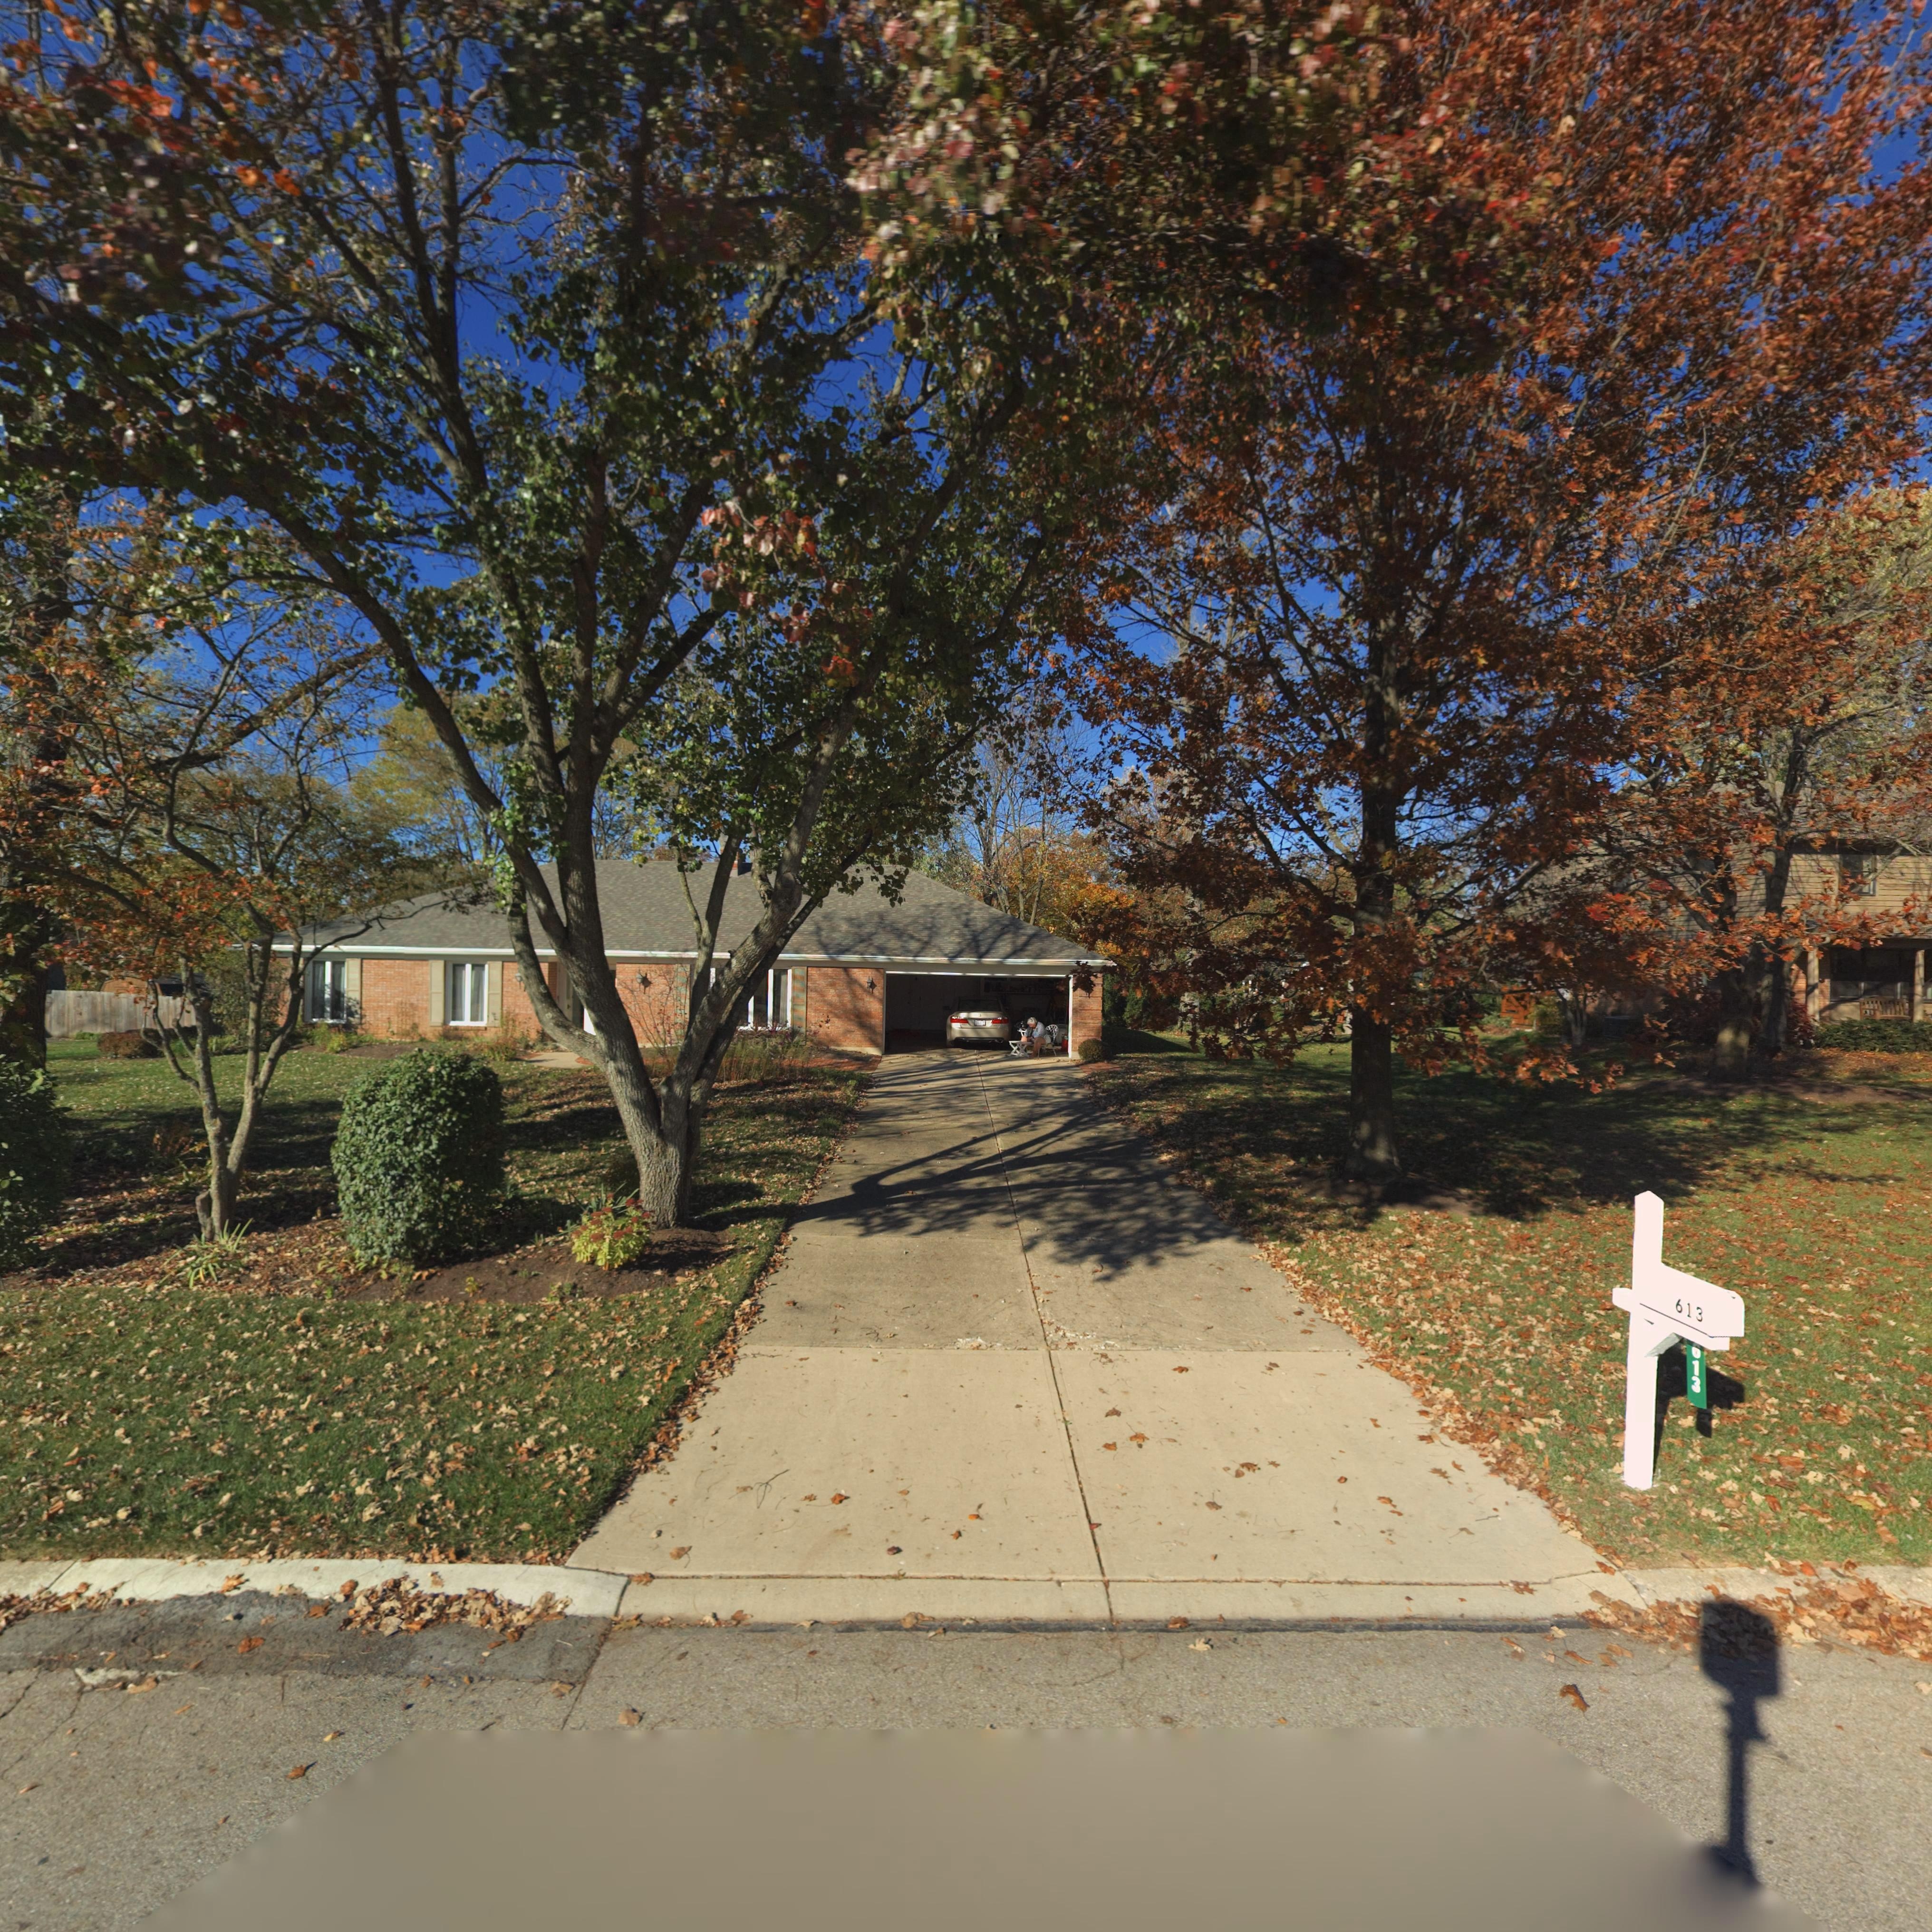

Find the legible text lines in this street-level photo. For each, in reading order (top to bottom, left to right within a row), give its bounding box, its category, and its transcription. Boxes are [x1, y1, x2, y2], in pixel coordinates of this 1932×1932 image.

[1675, 1295, 1704, 1324] StreetNumber: 613
[1690, 1340, 1702, 1397] StreetNumber: 613